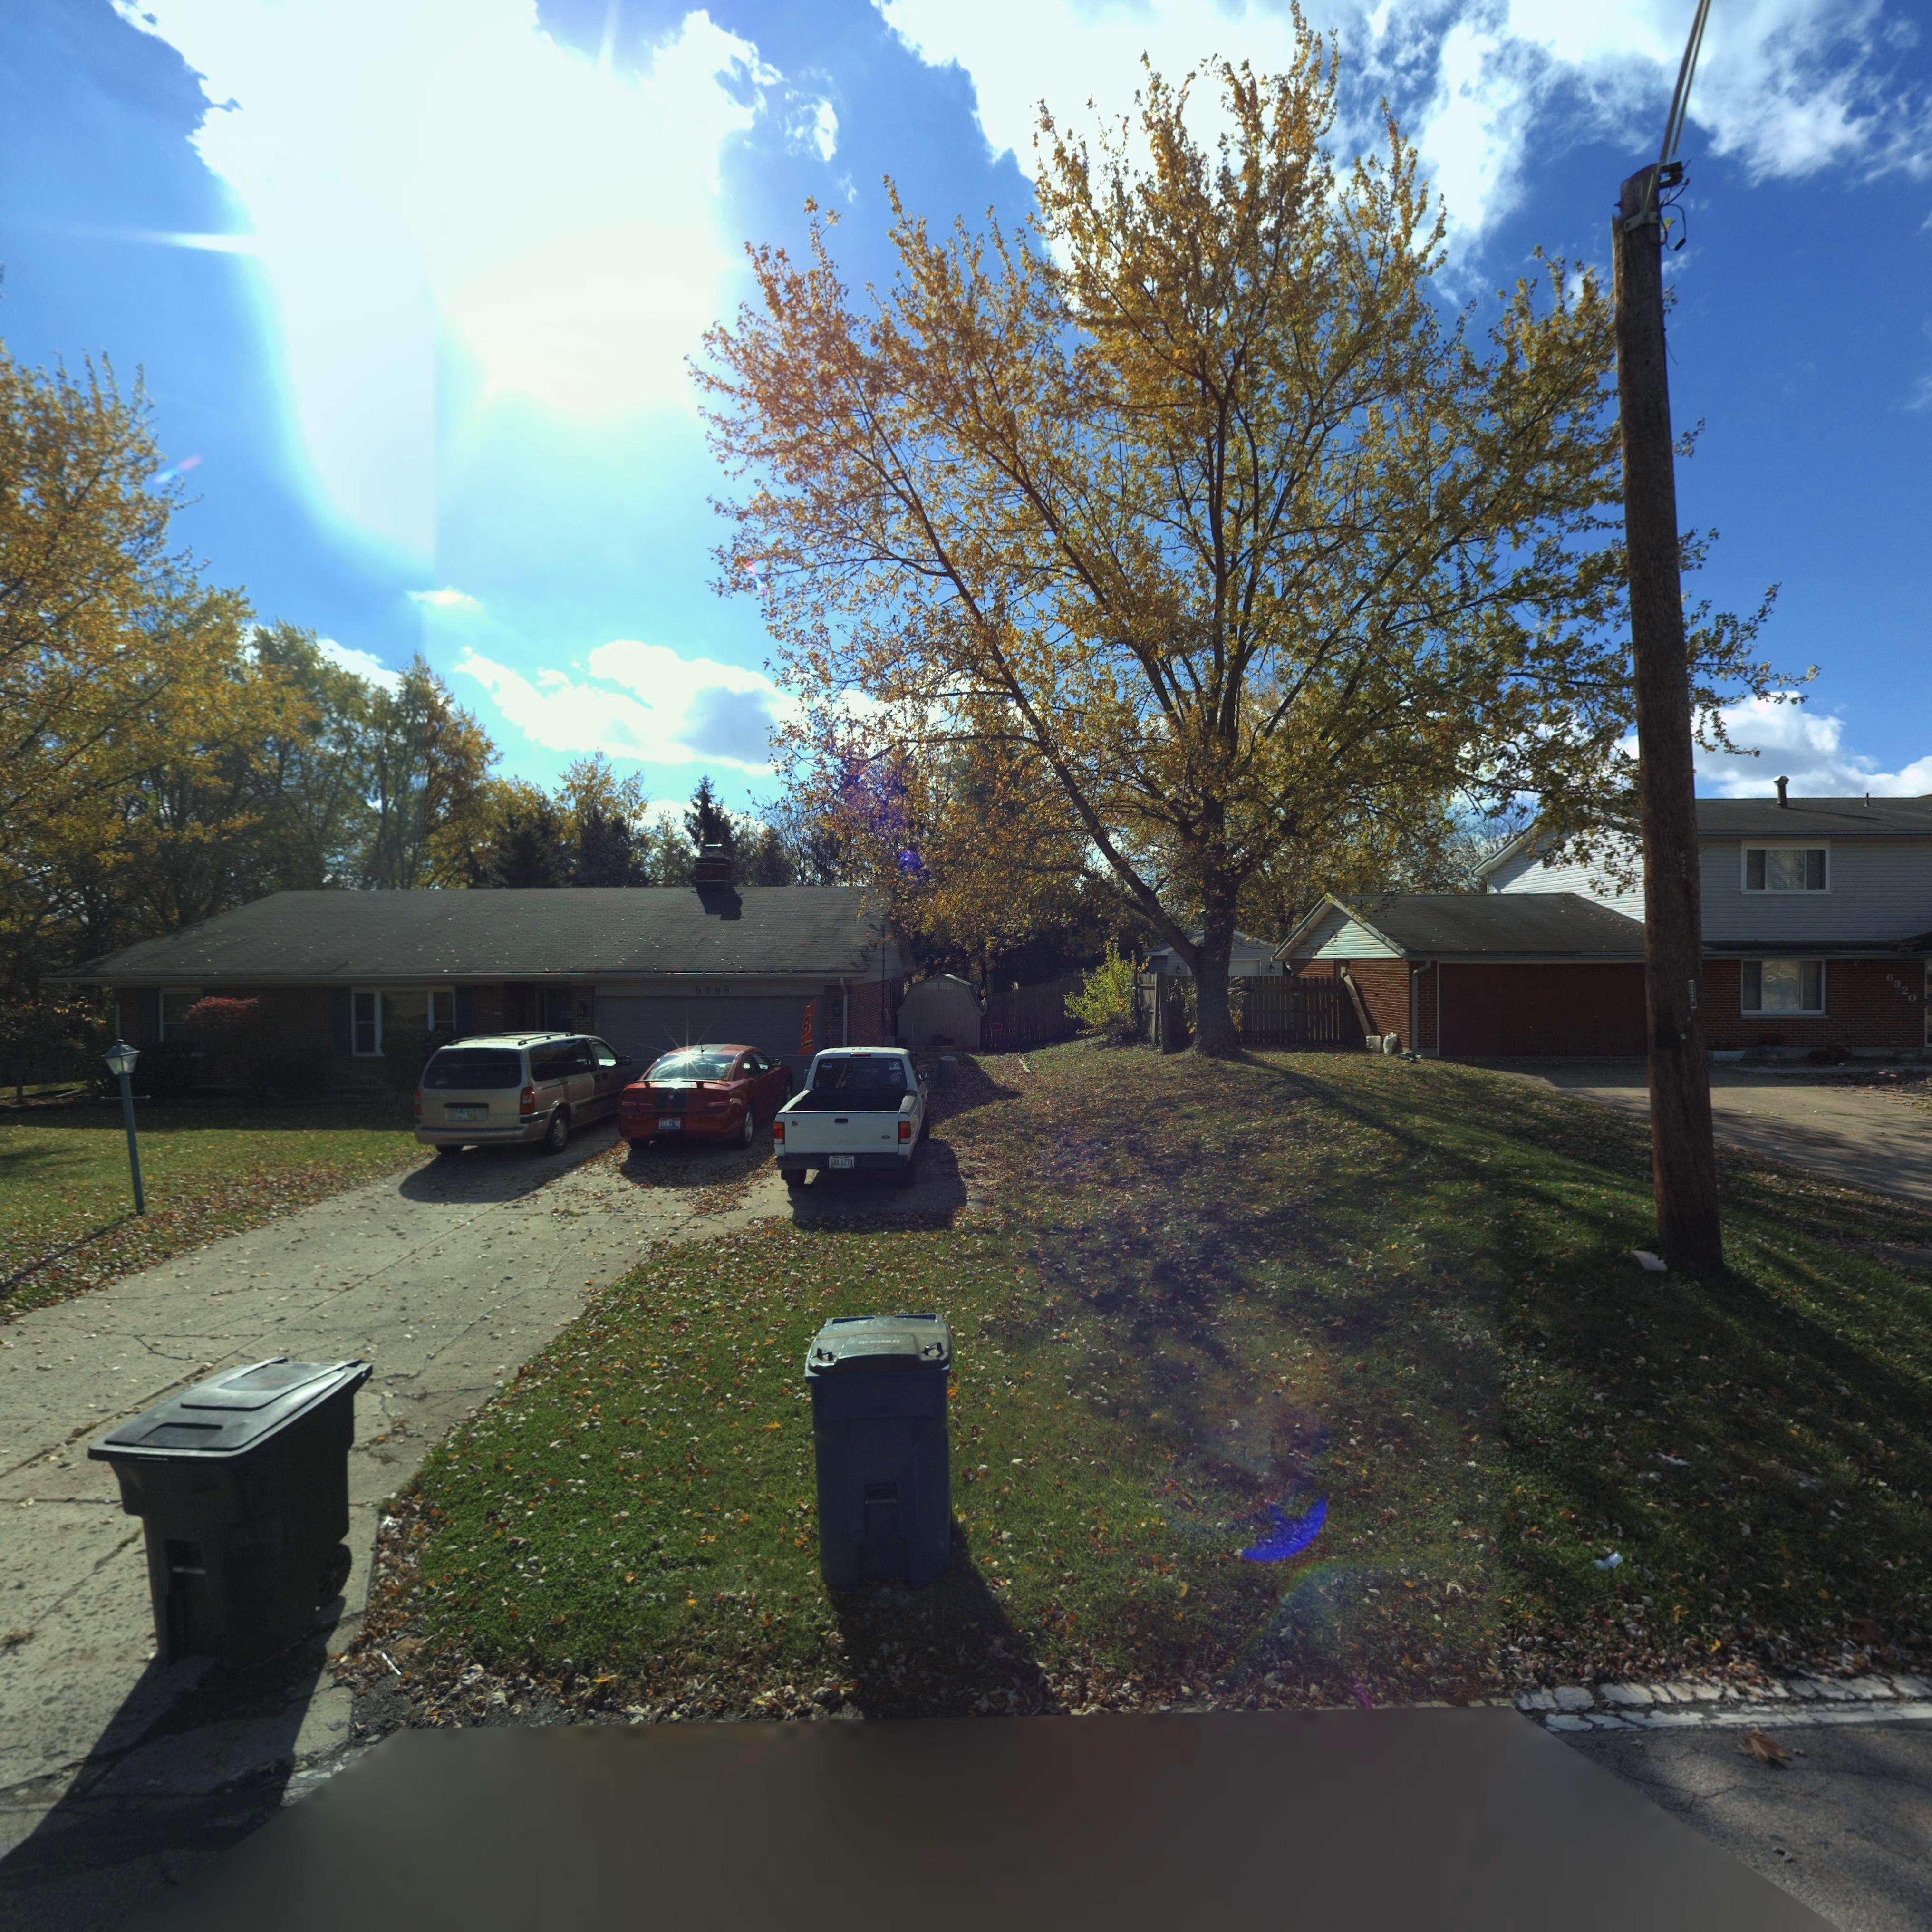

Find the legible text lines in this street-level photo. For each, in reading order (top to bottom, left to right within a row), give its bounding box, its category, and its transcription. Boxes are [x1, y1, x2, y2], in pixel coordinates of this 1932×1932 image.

[695, 985, 730, 995] StreetNumber: 6388
[1885, 972, 1917, 1003] StreetNumber: 6320